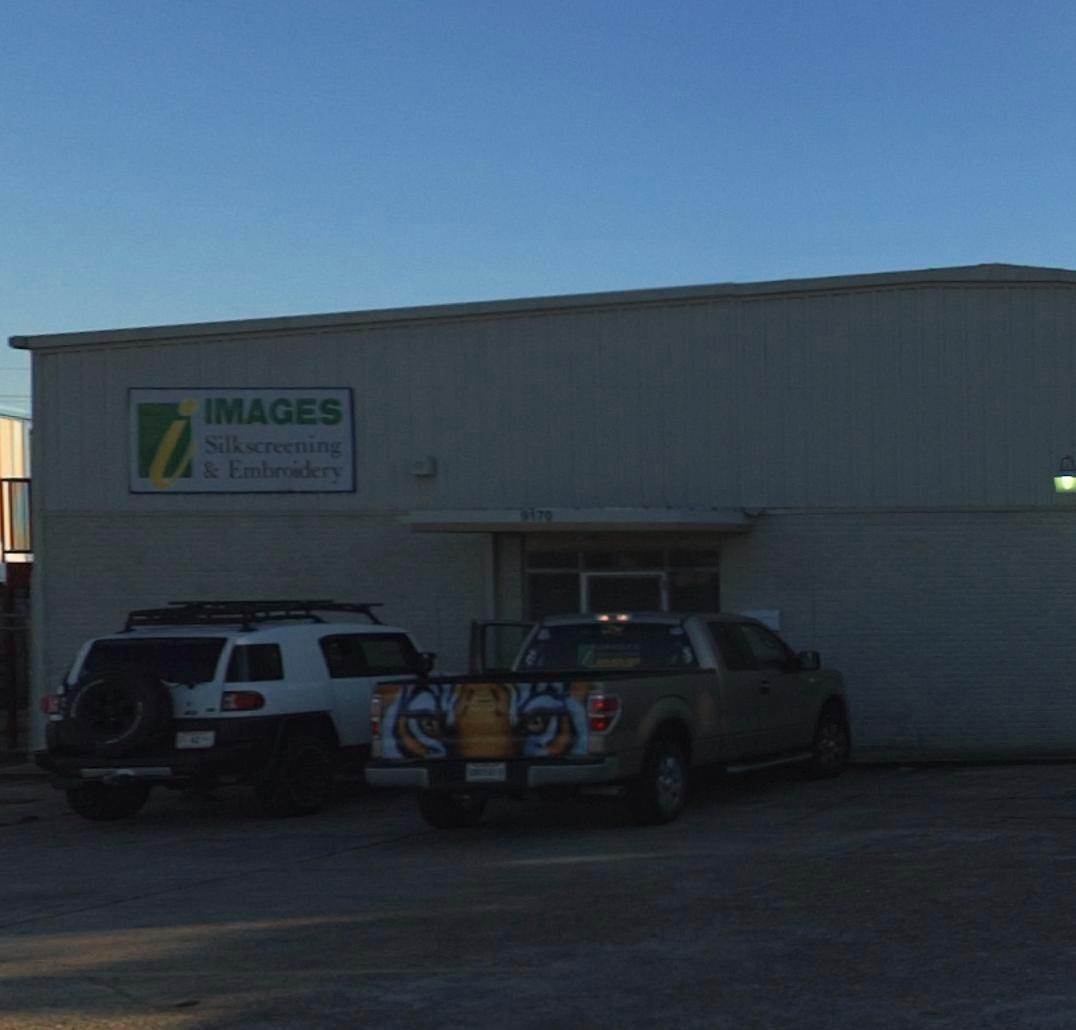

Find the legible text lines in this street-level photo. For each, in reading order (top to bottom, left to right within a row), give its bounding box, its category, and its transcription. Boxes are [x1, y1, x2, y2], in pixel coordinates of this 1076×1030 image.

[204, 396, 345, 426] BusinessName: IMAGES
[148, 396, 200, 491] None: i
[204, 433, 344, 460] BusinessName: Silk screening
[228, 458, 347, 486] BusinessName: Embroidery
[519, 508, 554, 523] StreetNumber: 9170